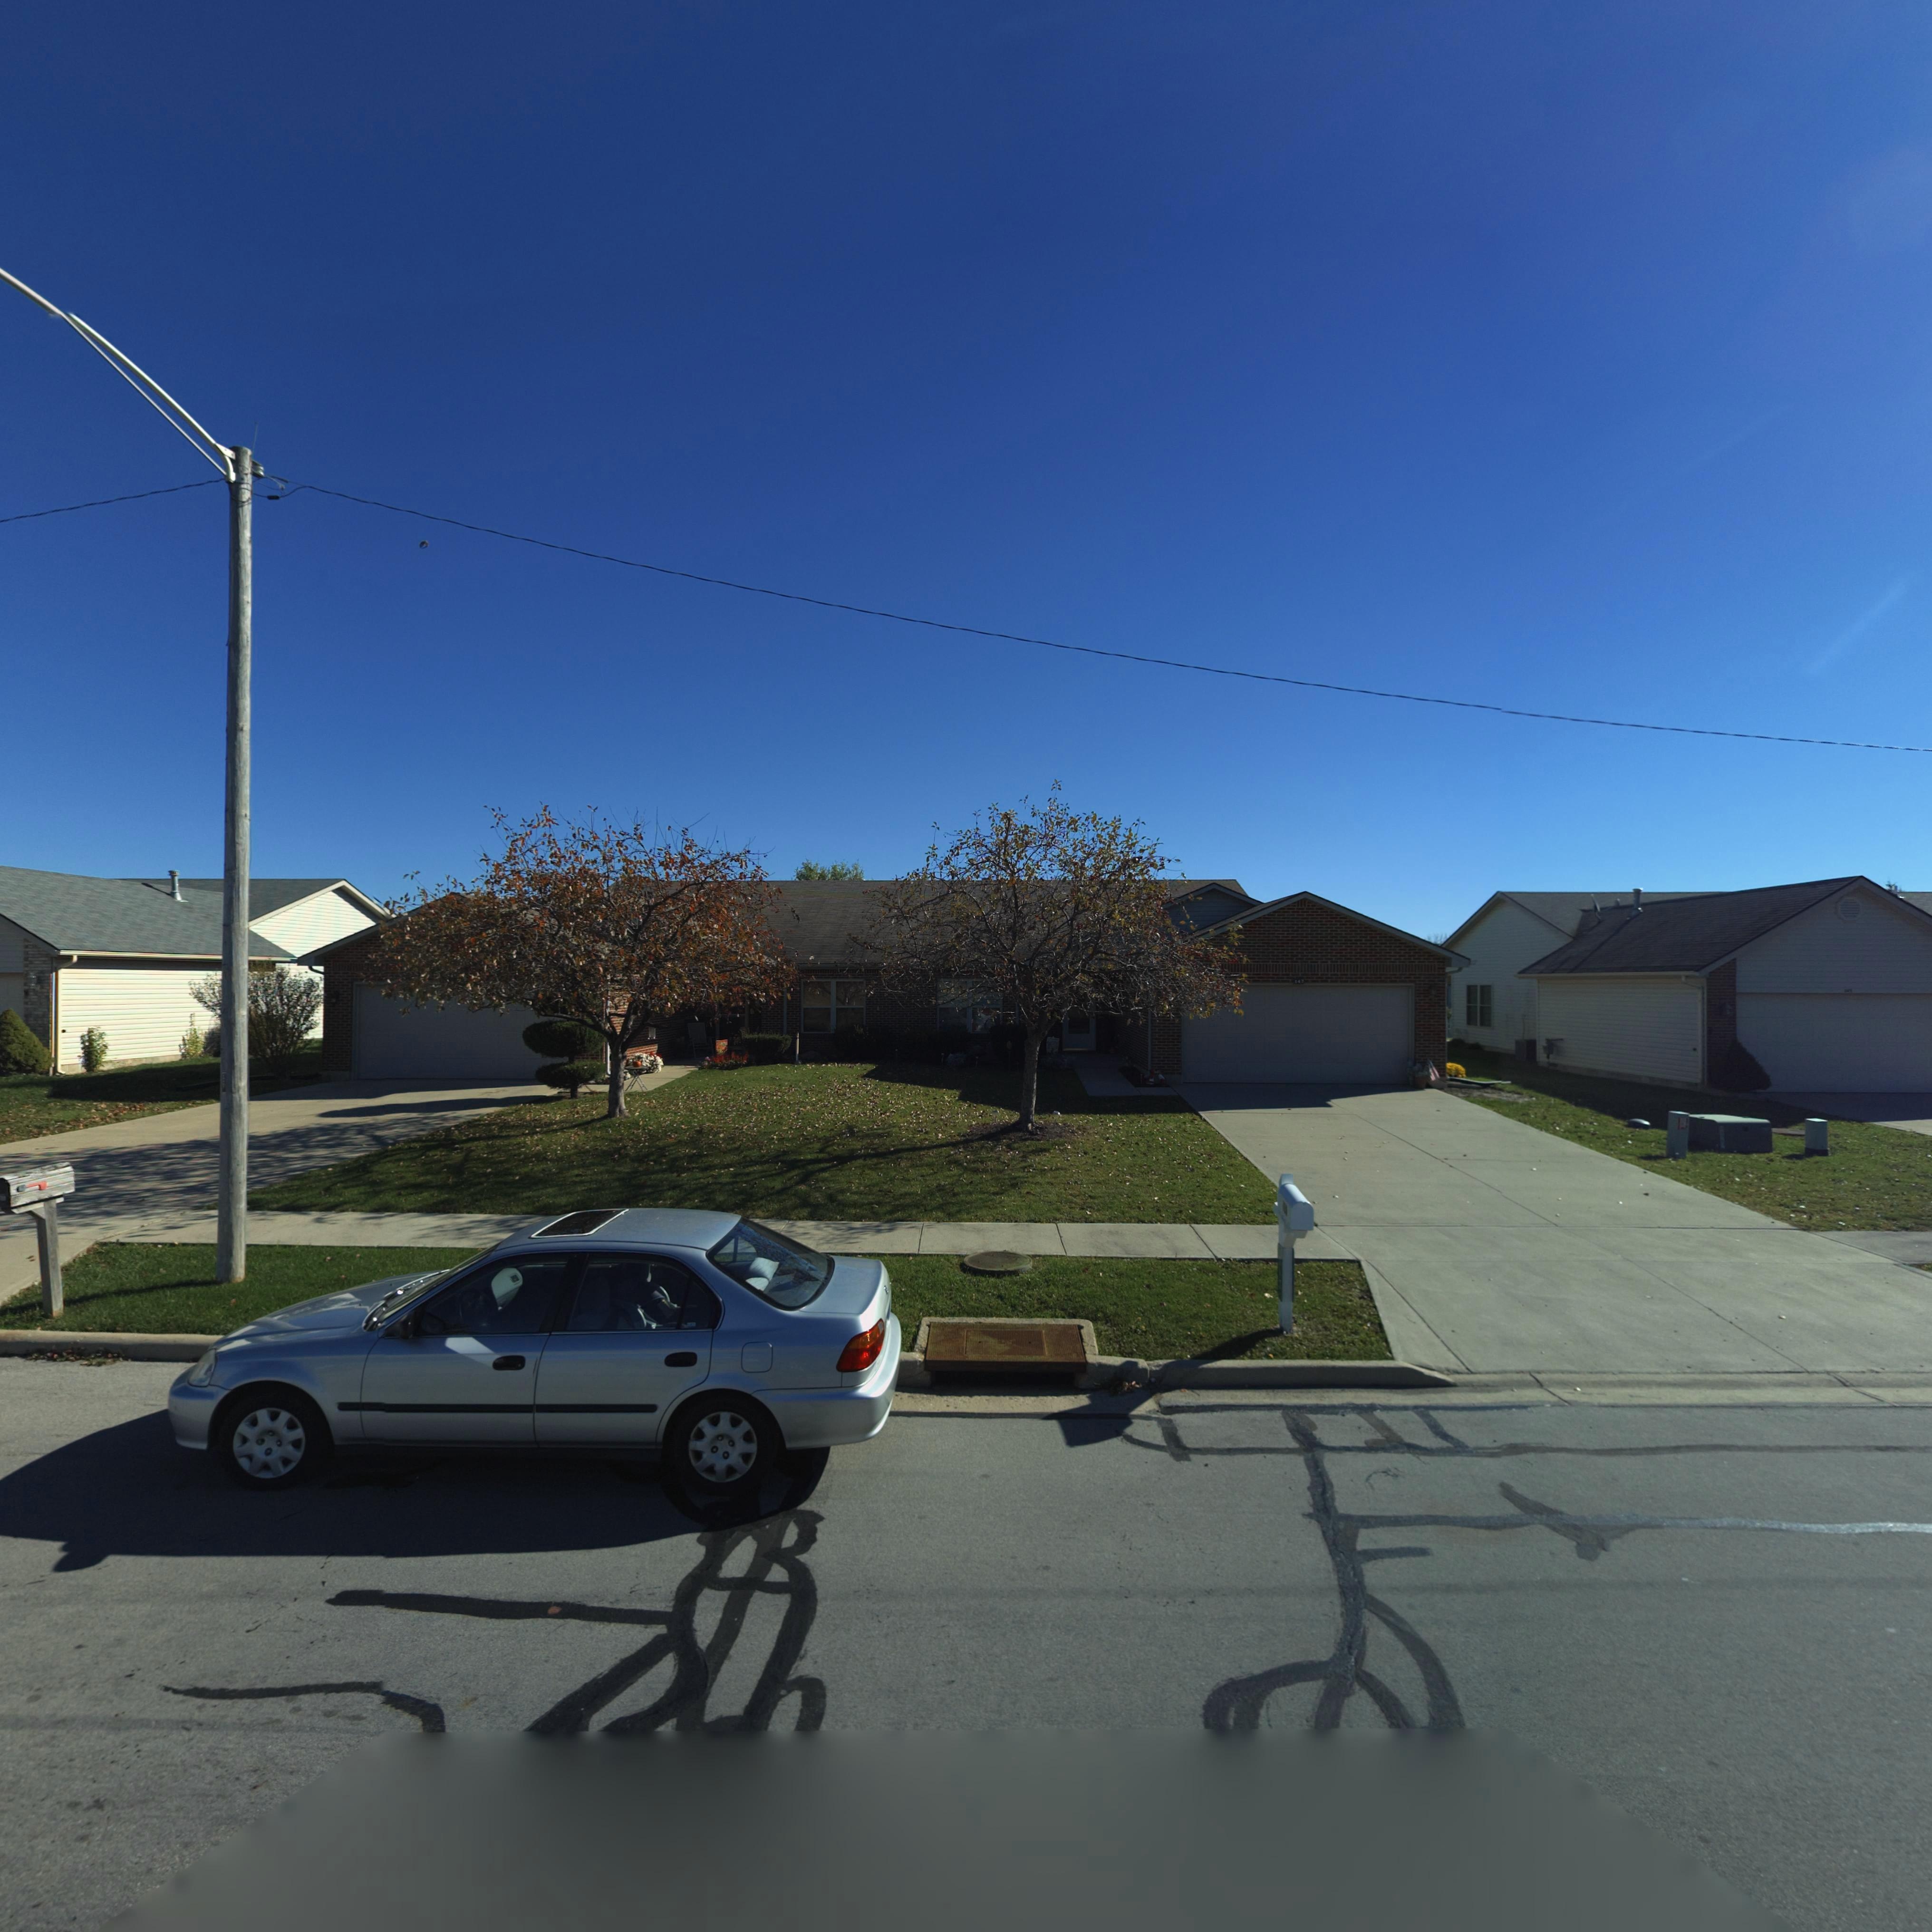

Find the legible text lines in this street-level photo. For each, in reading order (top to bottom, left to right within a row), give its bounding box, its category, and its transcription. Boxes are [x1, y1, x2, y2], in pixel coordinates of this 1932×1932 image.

[1294, 979, 1304, 984] StreetNumber: 147
[1278, 1253, 1282, 1290] StreetNumber: **7